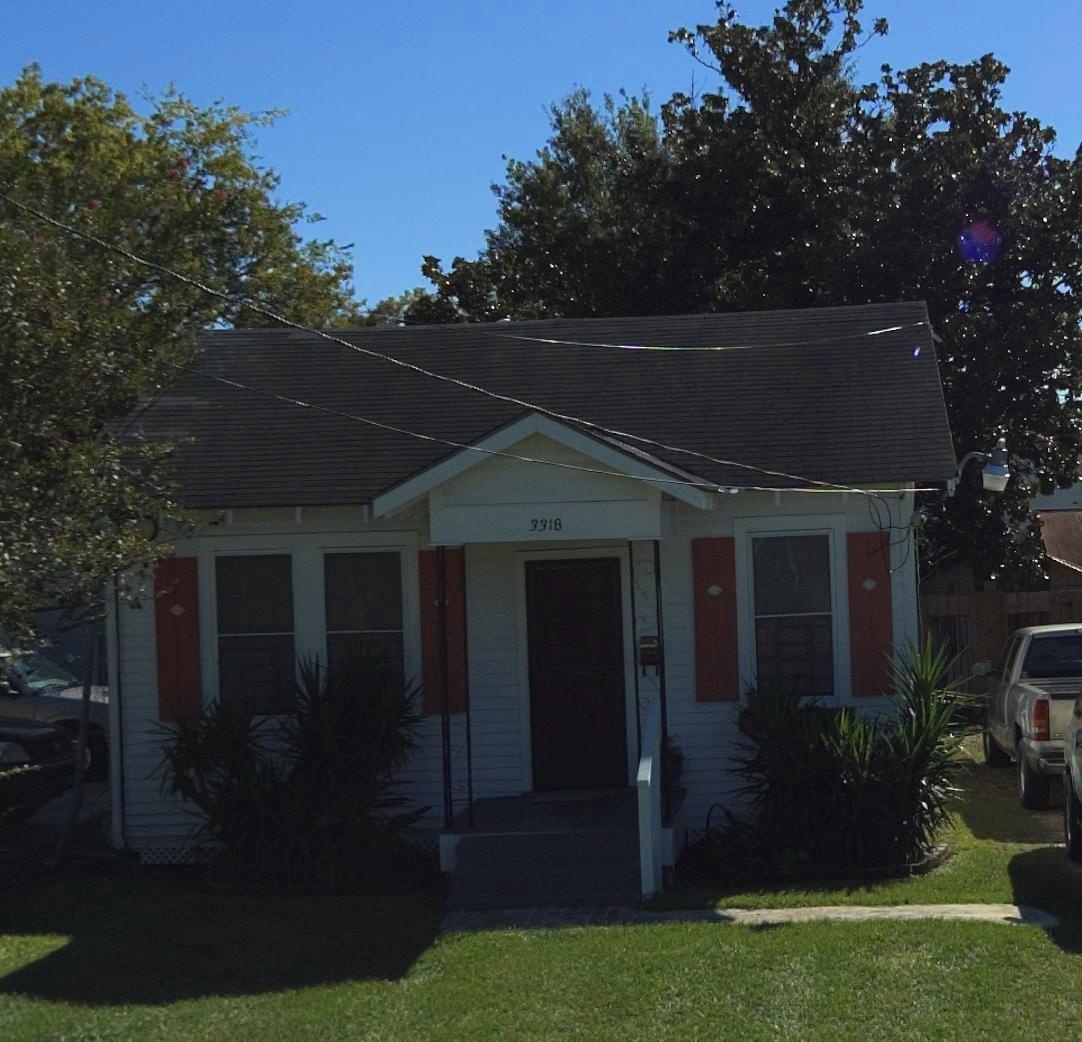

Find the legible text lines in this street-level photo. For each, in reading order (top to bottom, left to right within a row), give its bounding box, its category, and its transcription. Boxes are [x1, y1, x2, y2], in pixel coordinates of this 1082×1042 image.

[527, 517, 564, 533] StreetNumber: 3318